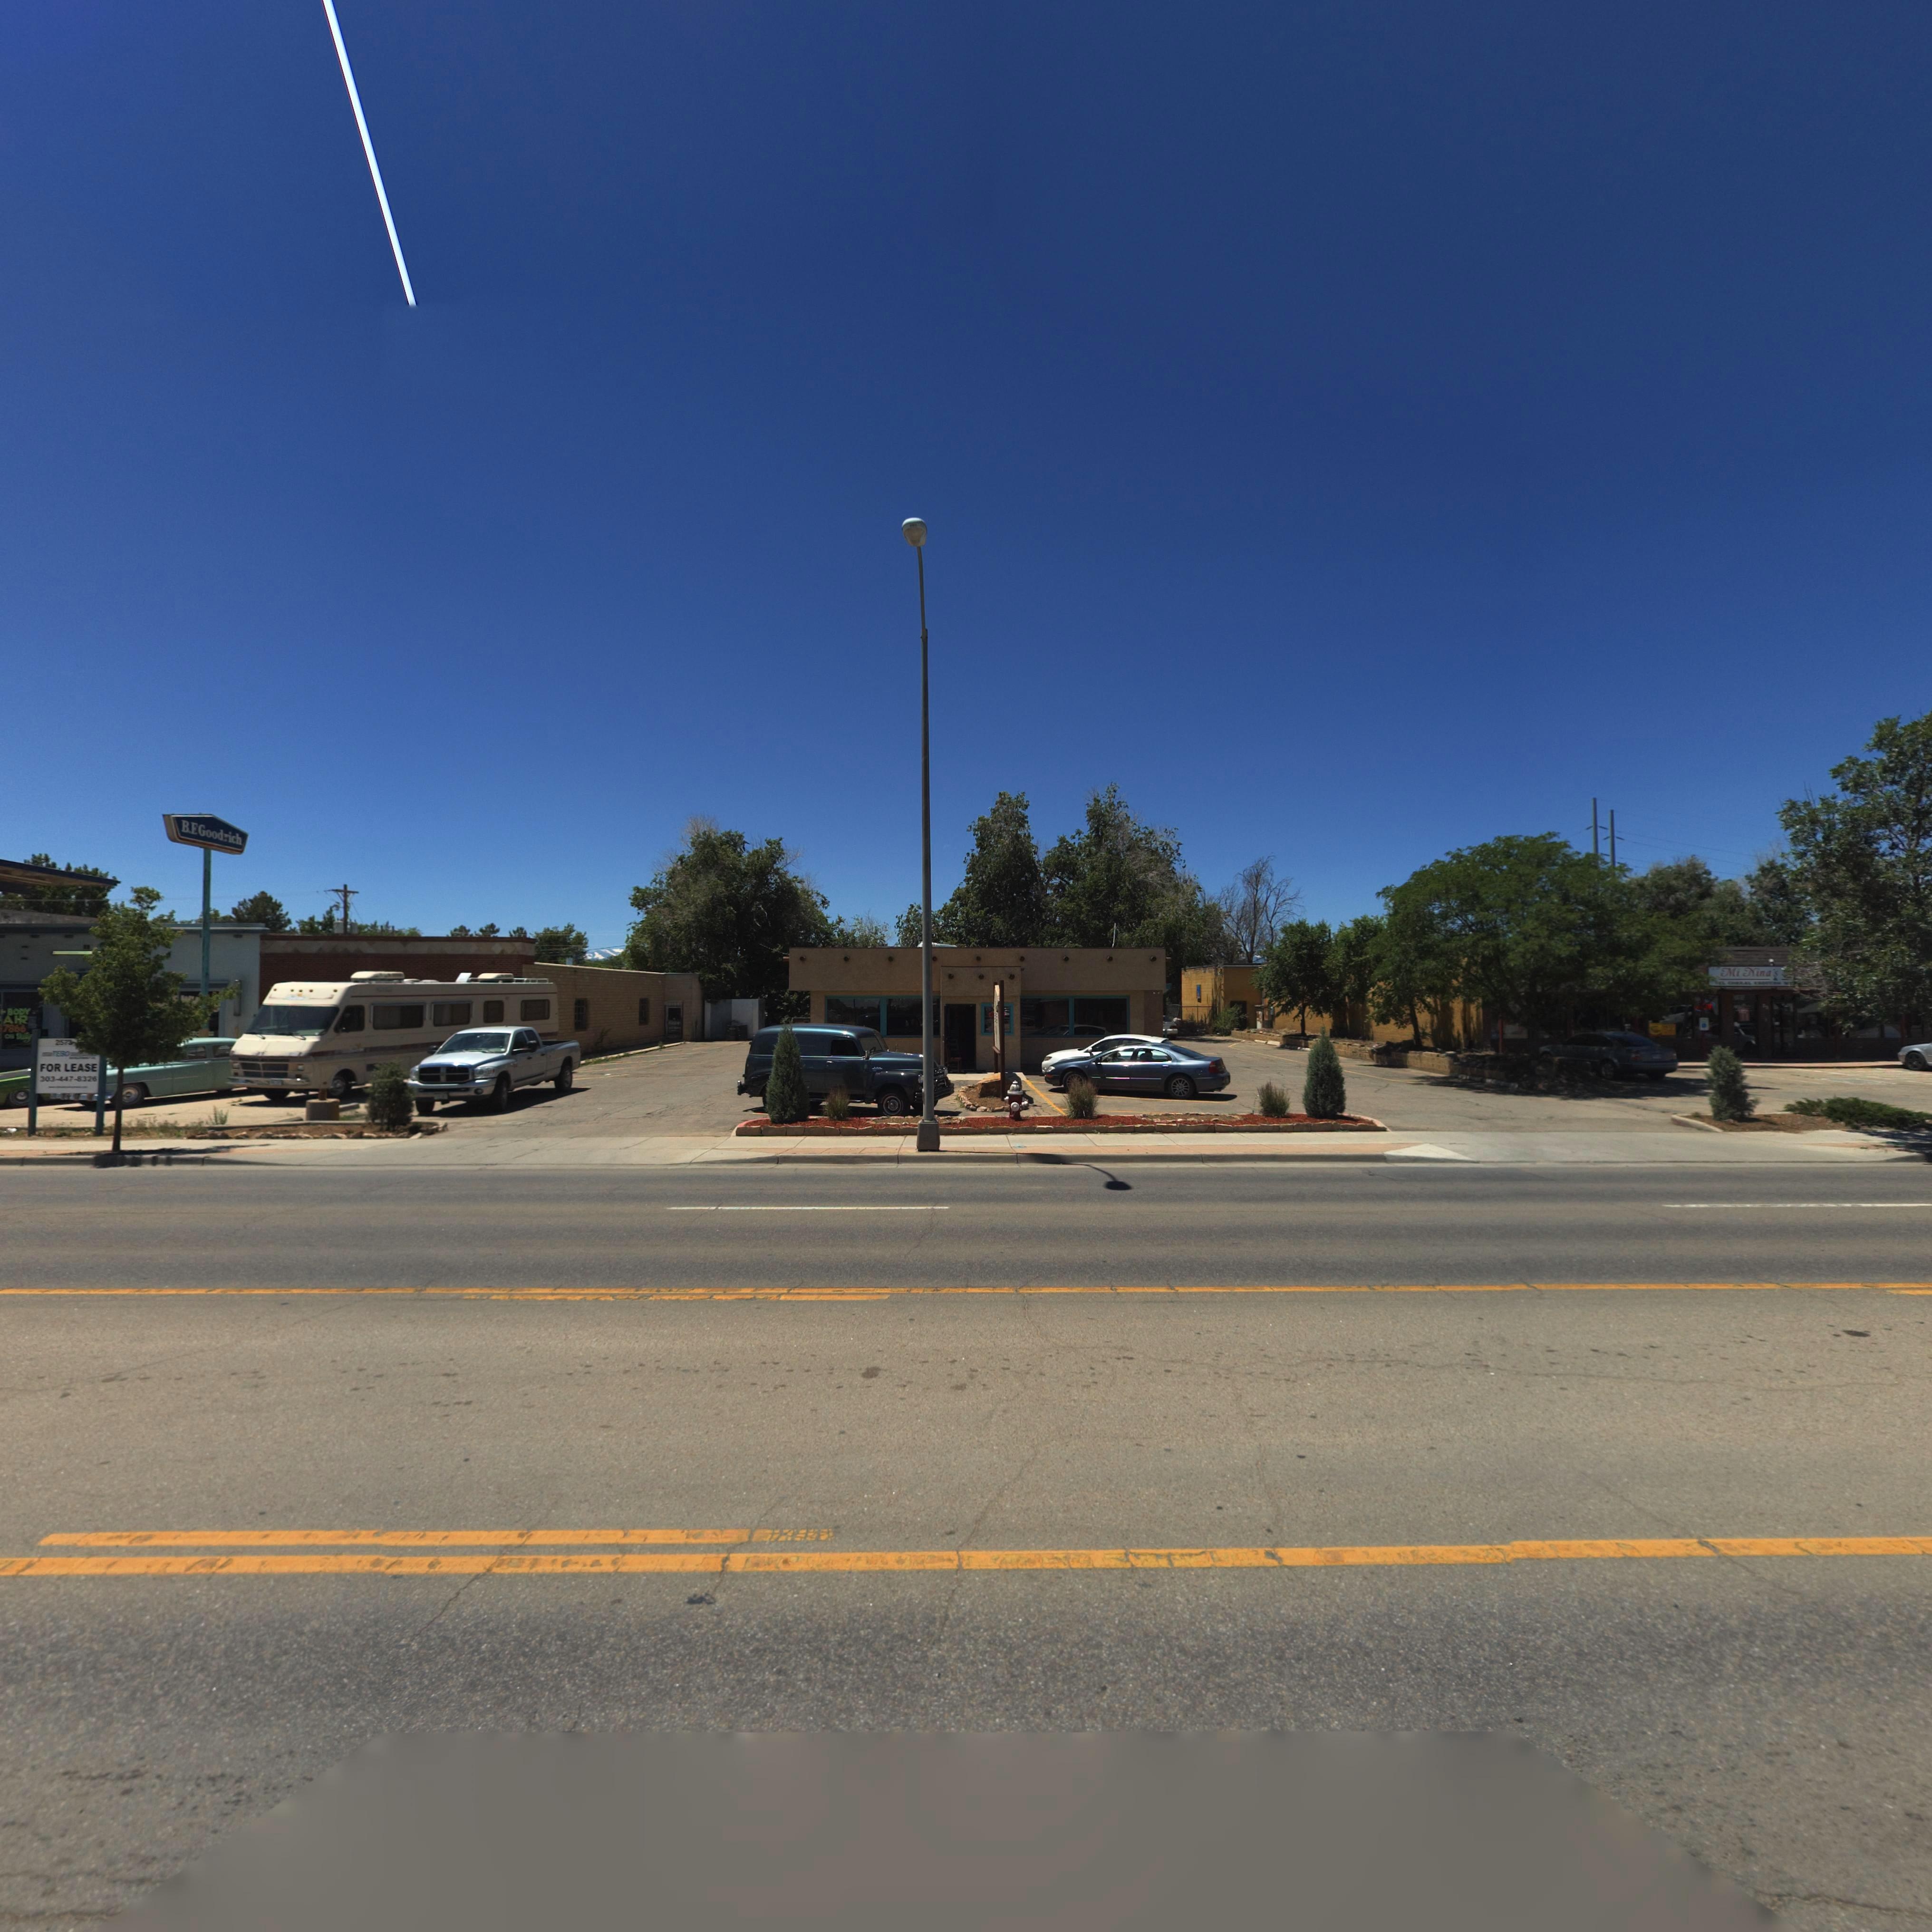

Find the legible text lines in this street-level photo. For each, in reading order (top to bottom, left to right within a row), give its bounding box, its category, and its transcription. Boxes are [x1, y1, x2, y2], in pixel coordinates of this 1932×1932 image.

[181, 819, 242, 845] BusinessName: B.F. Goodrich
[1719, 966, 1778, 977] BusinessName: Mi Nina's